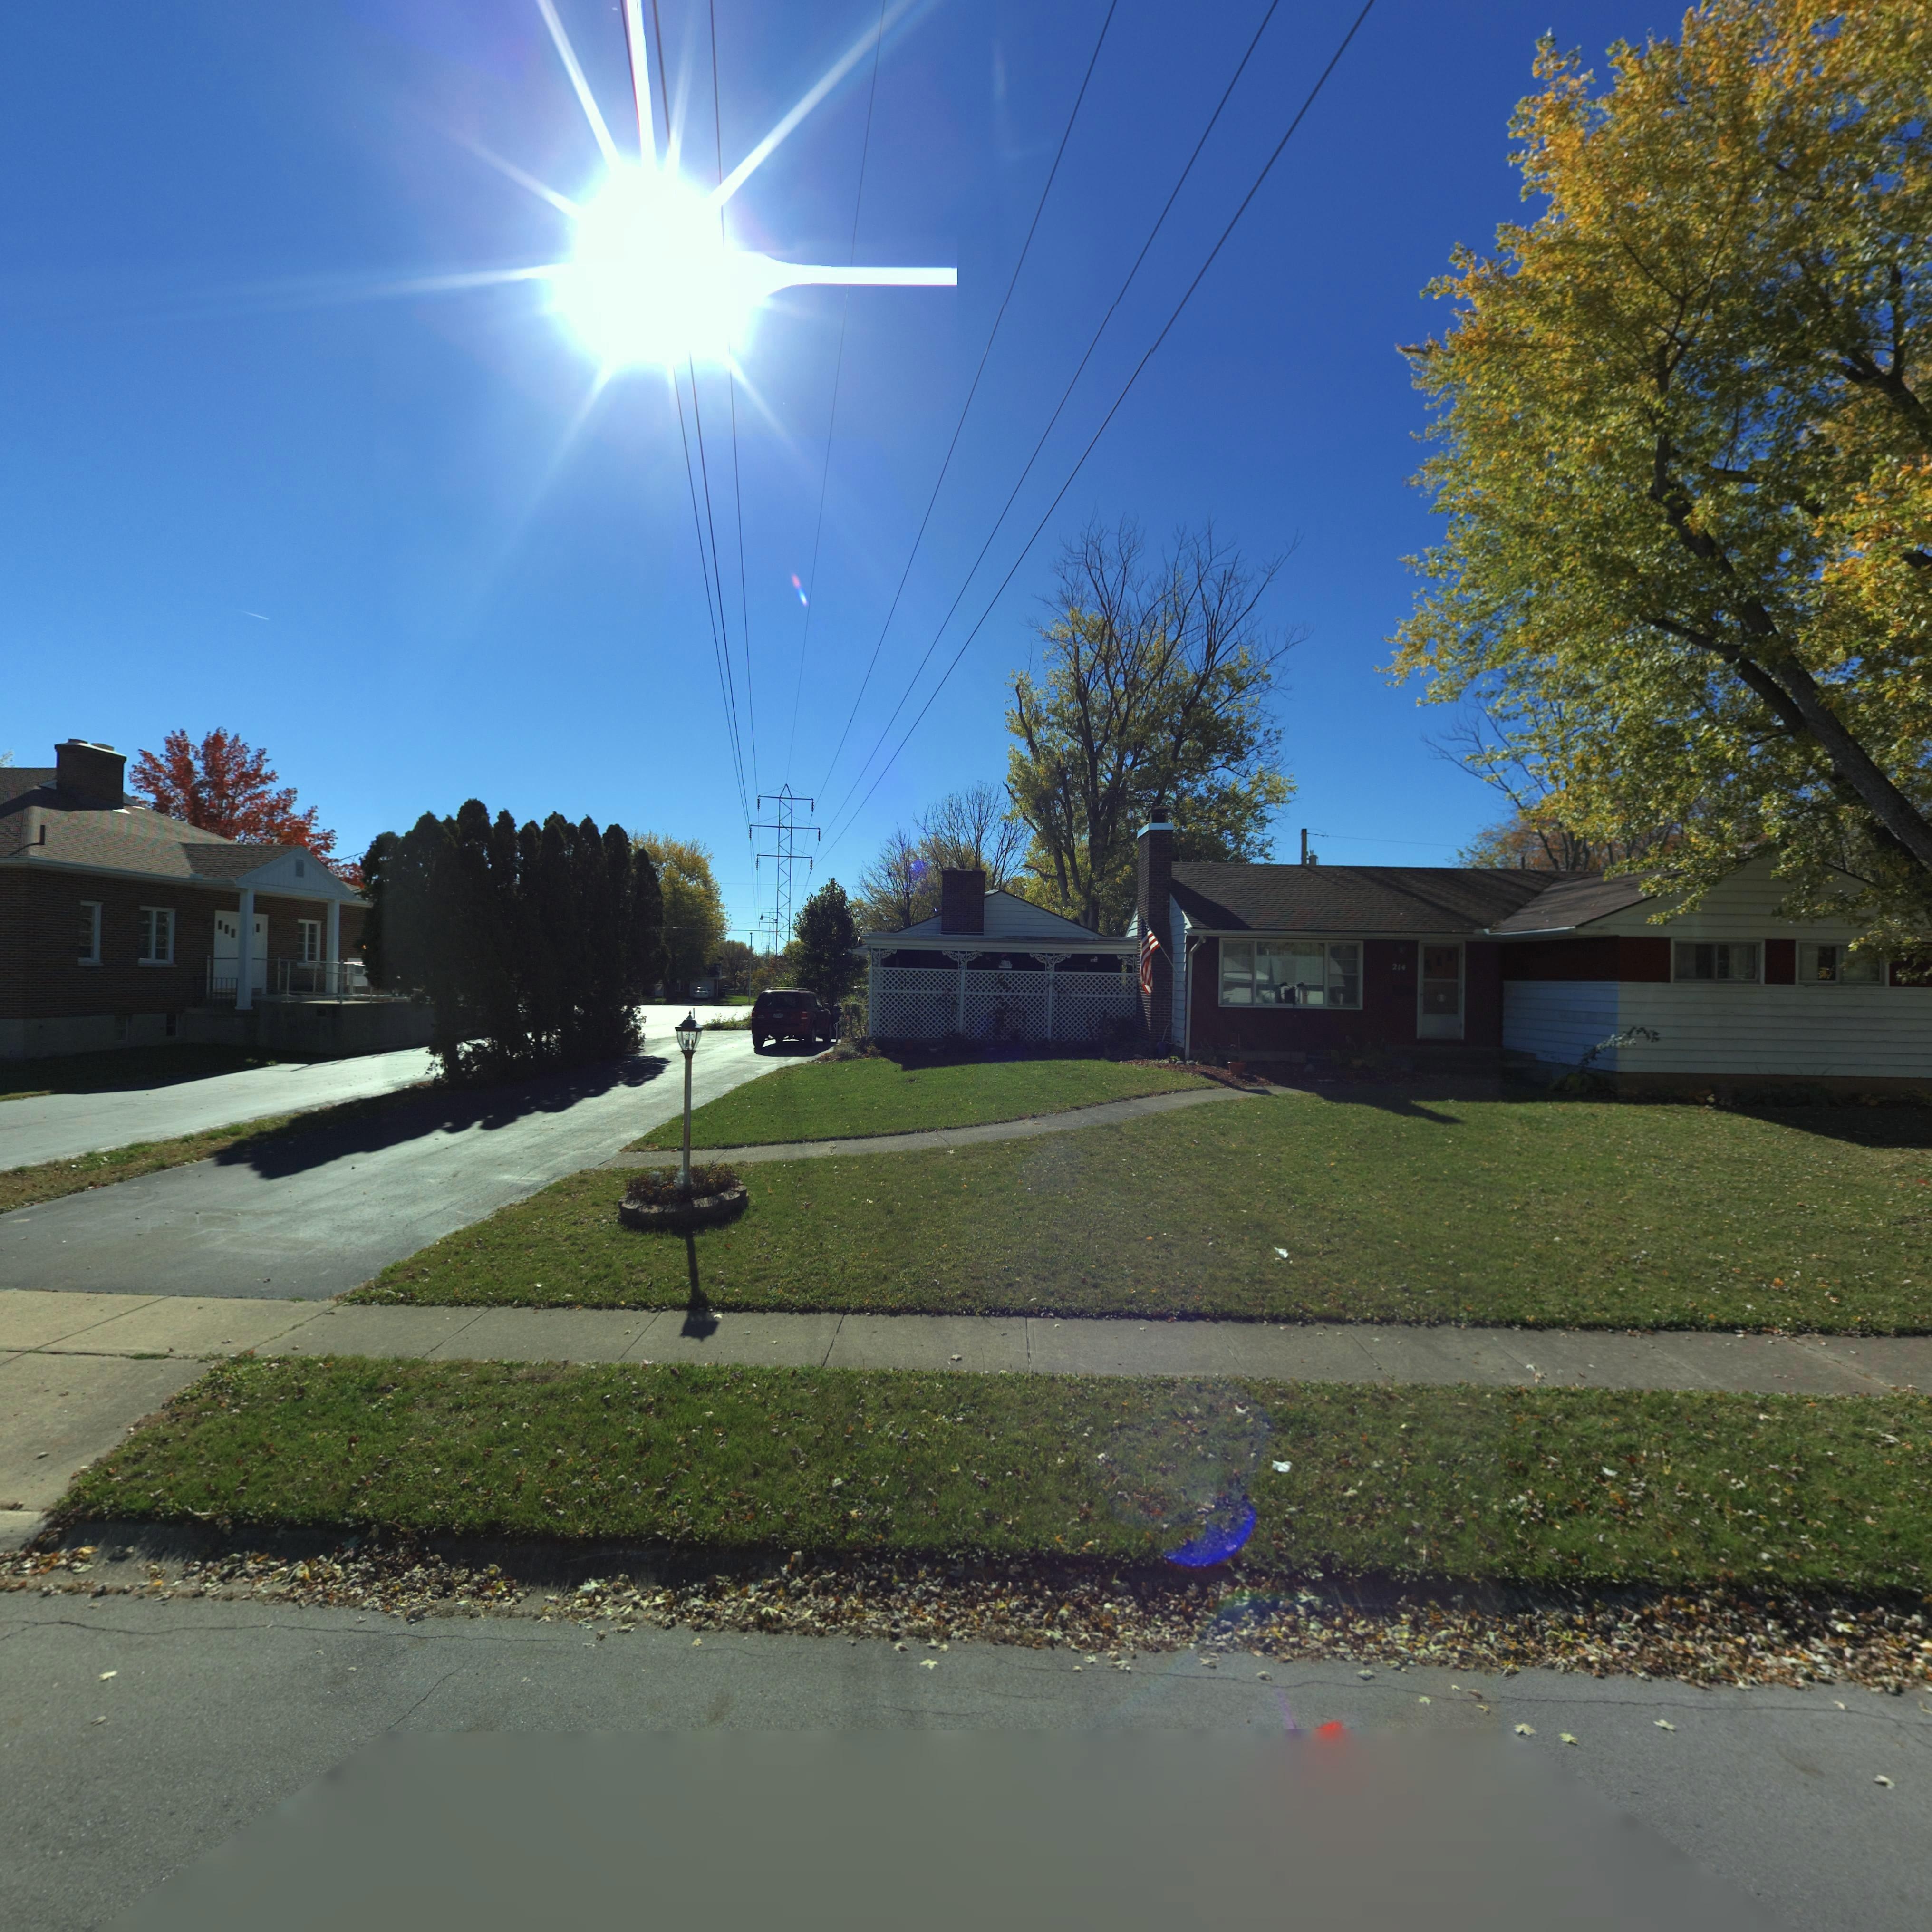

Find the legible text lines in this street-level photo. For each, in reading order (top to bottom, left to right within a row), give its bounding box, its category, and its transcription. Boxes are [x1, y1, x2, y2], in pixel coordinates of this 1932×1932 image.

[1391, 963, 1406, 971] StreetNumber: 214